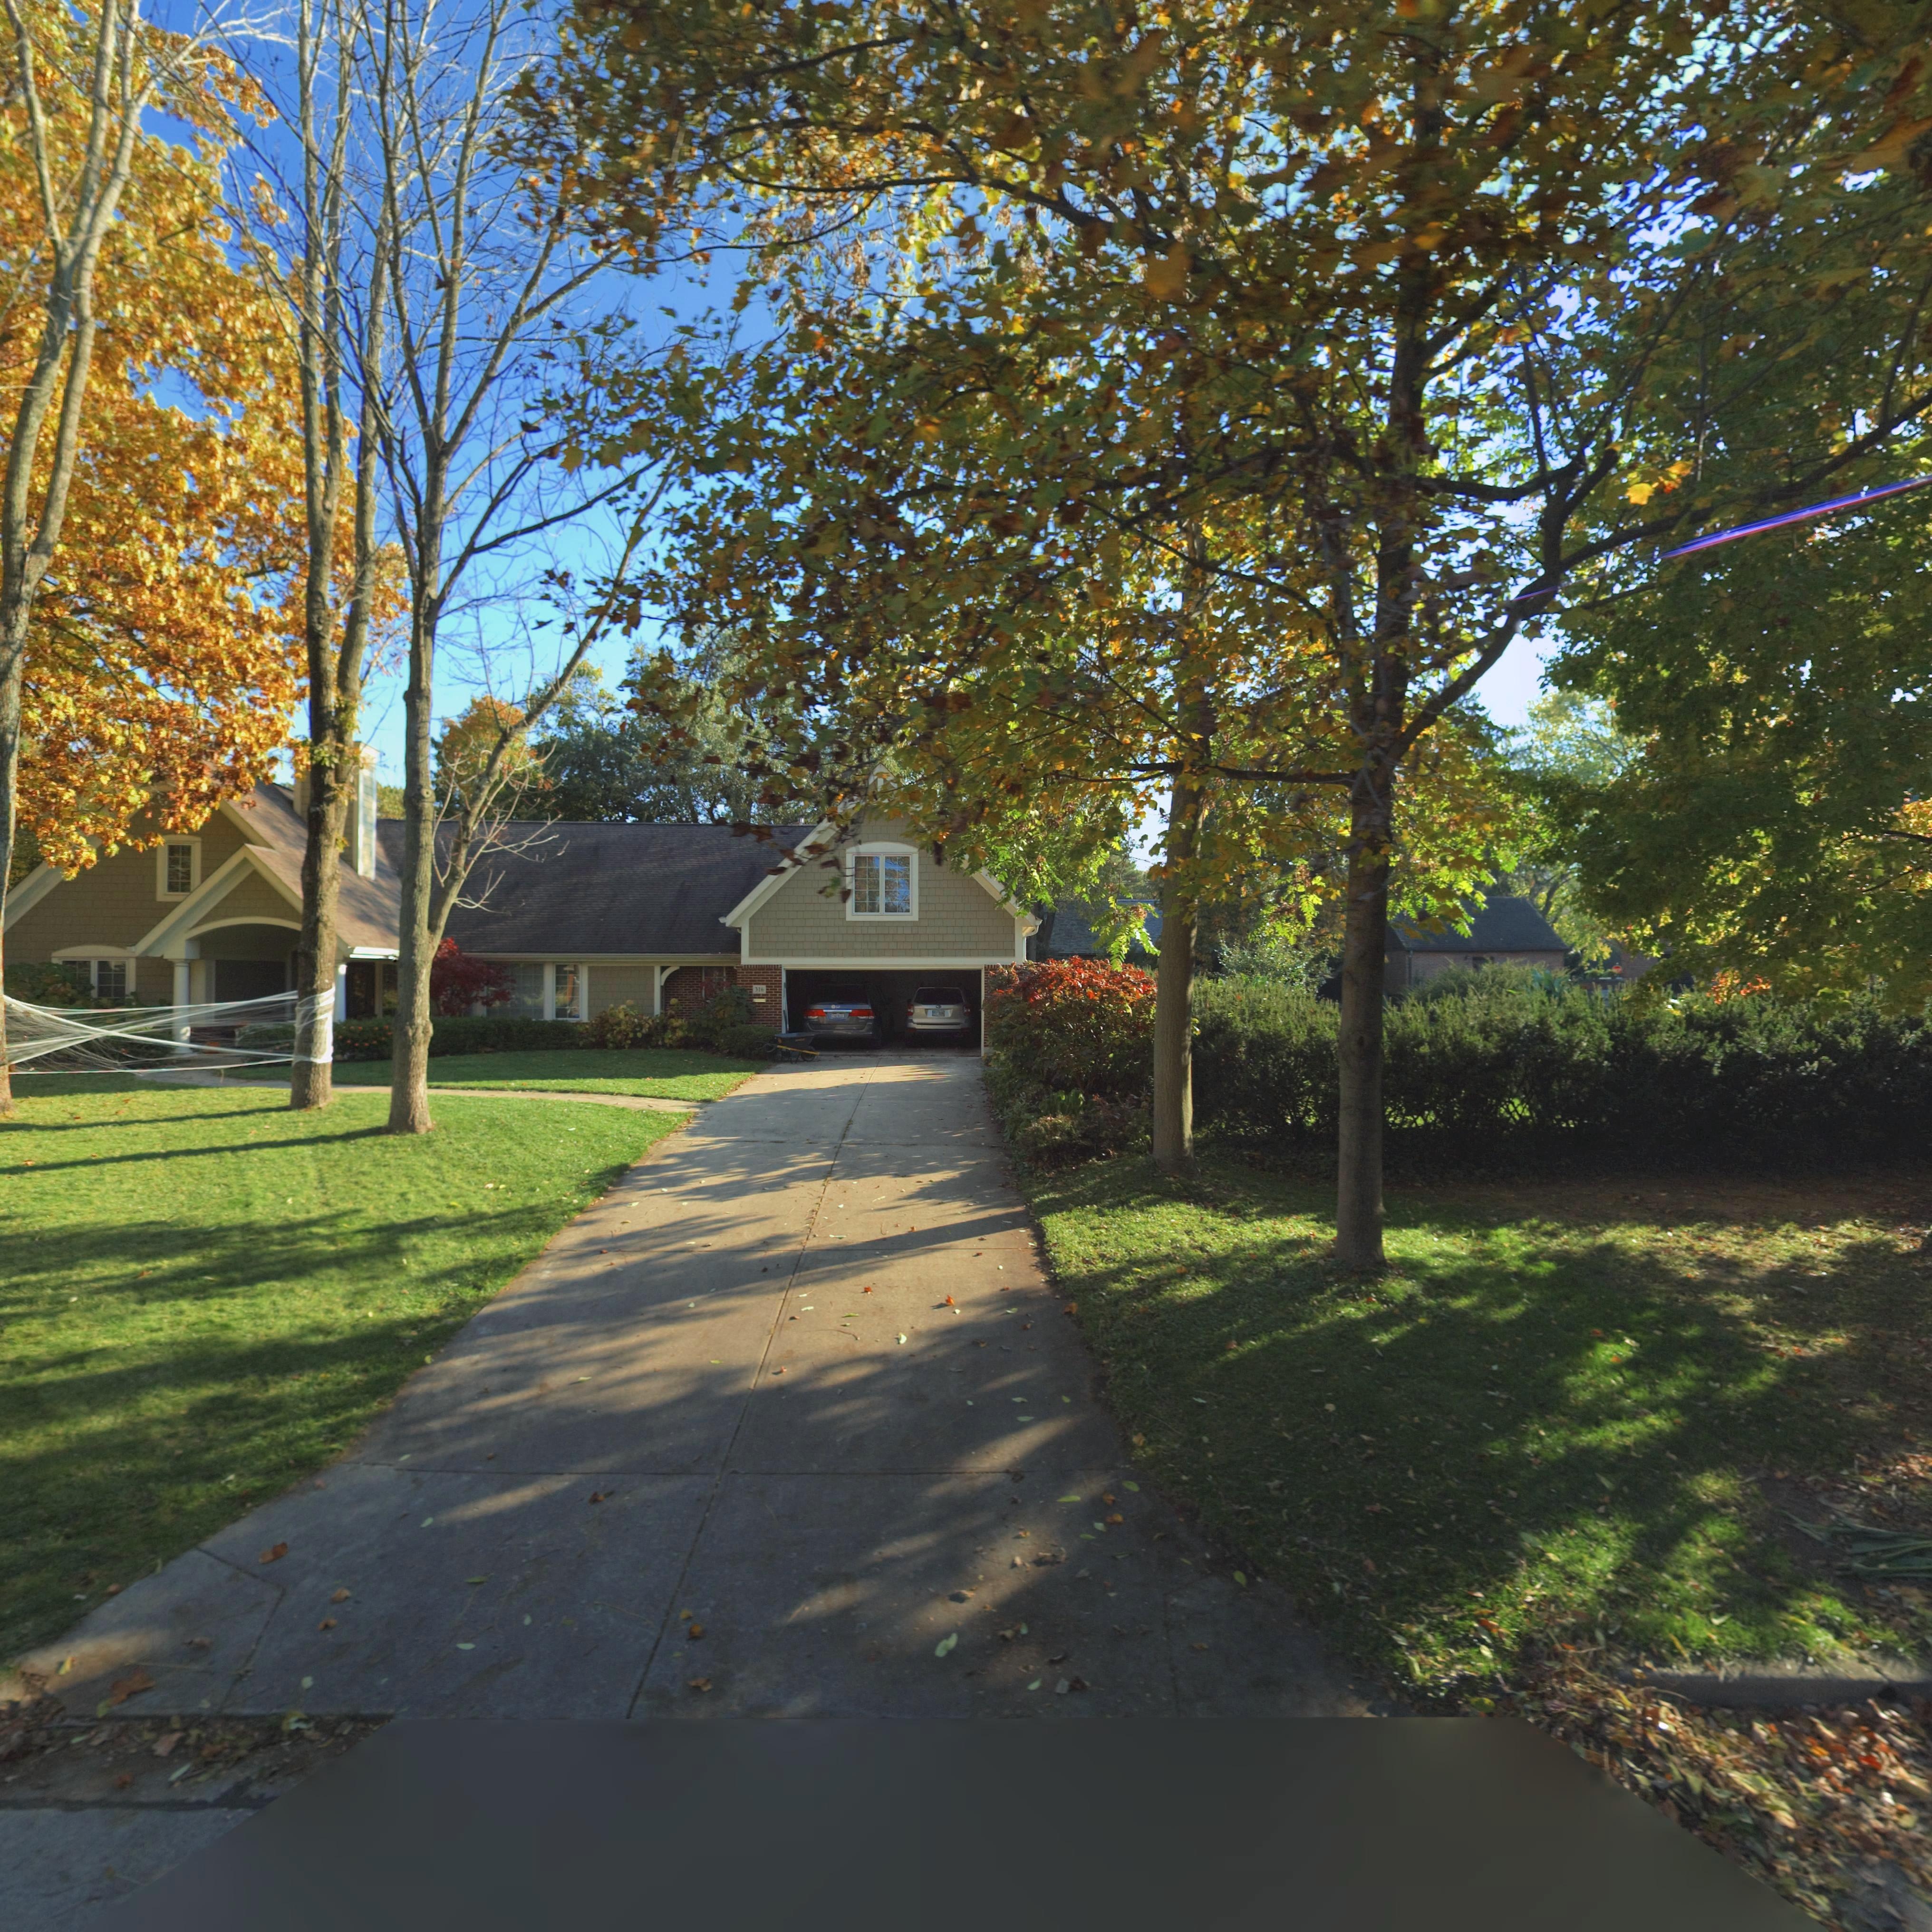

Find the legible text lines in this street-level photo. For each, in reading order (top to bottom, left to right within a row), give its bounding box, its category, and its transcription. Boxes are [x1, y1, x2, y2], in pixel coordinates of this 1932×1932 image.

[754, 986, 765, 993] StreetNumber: 316